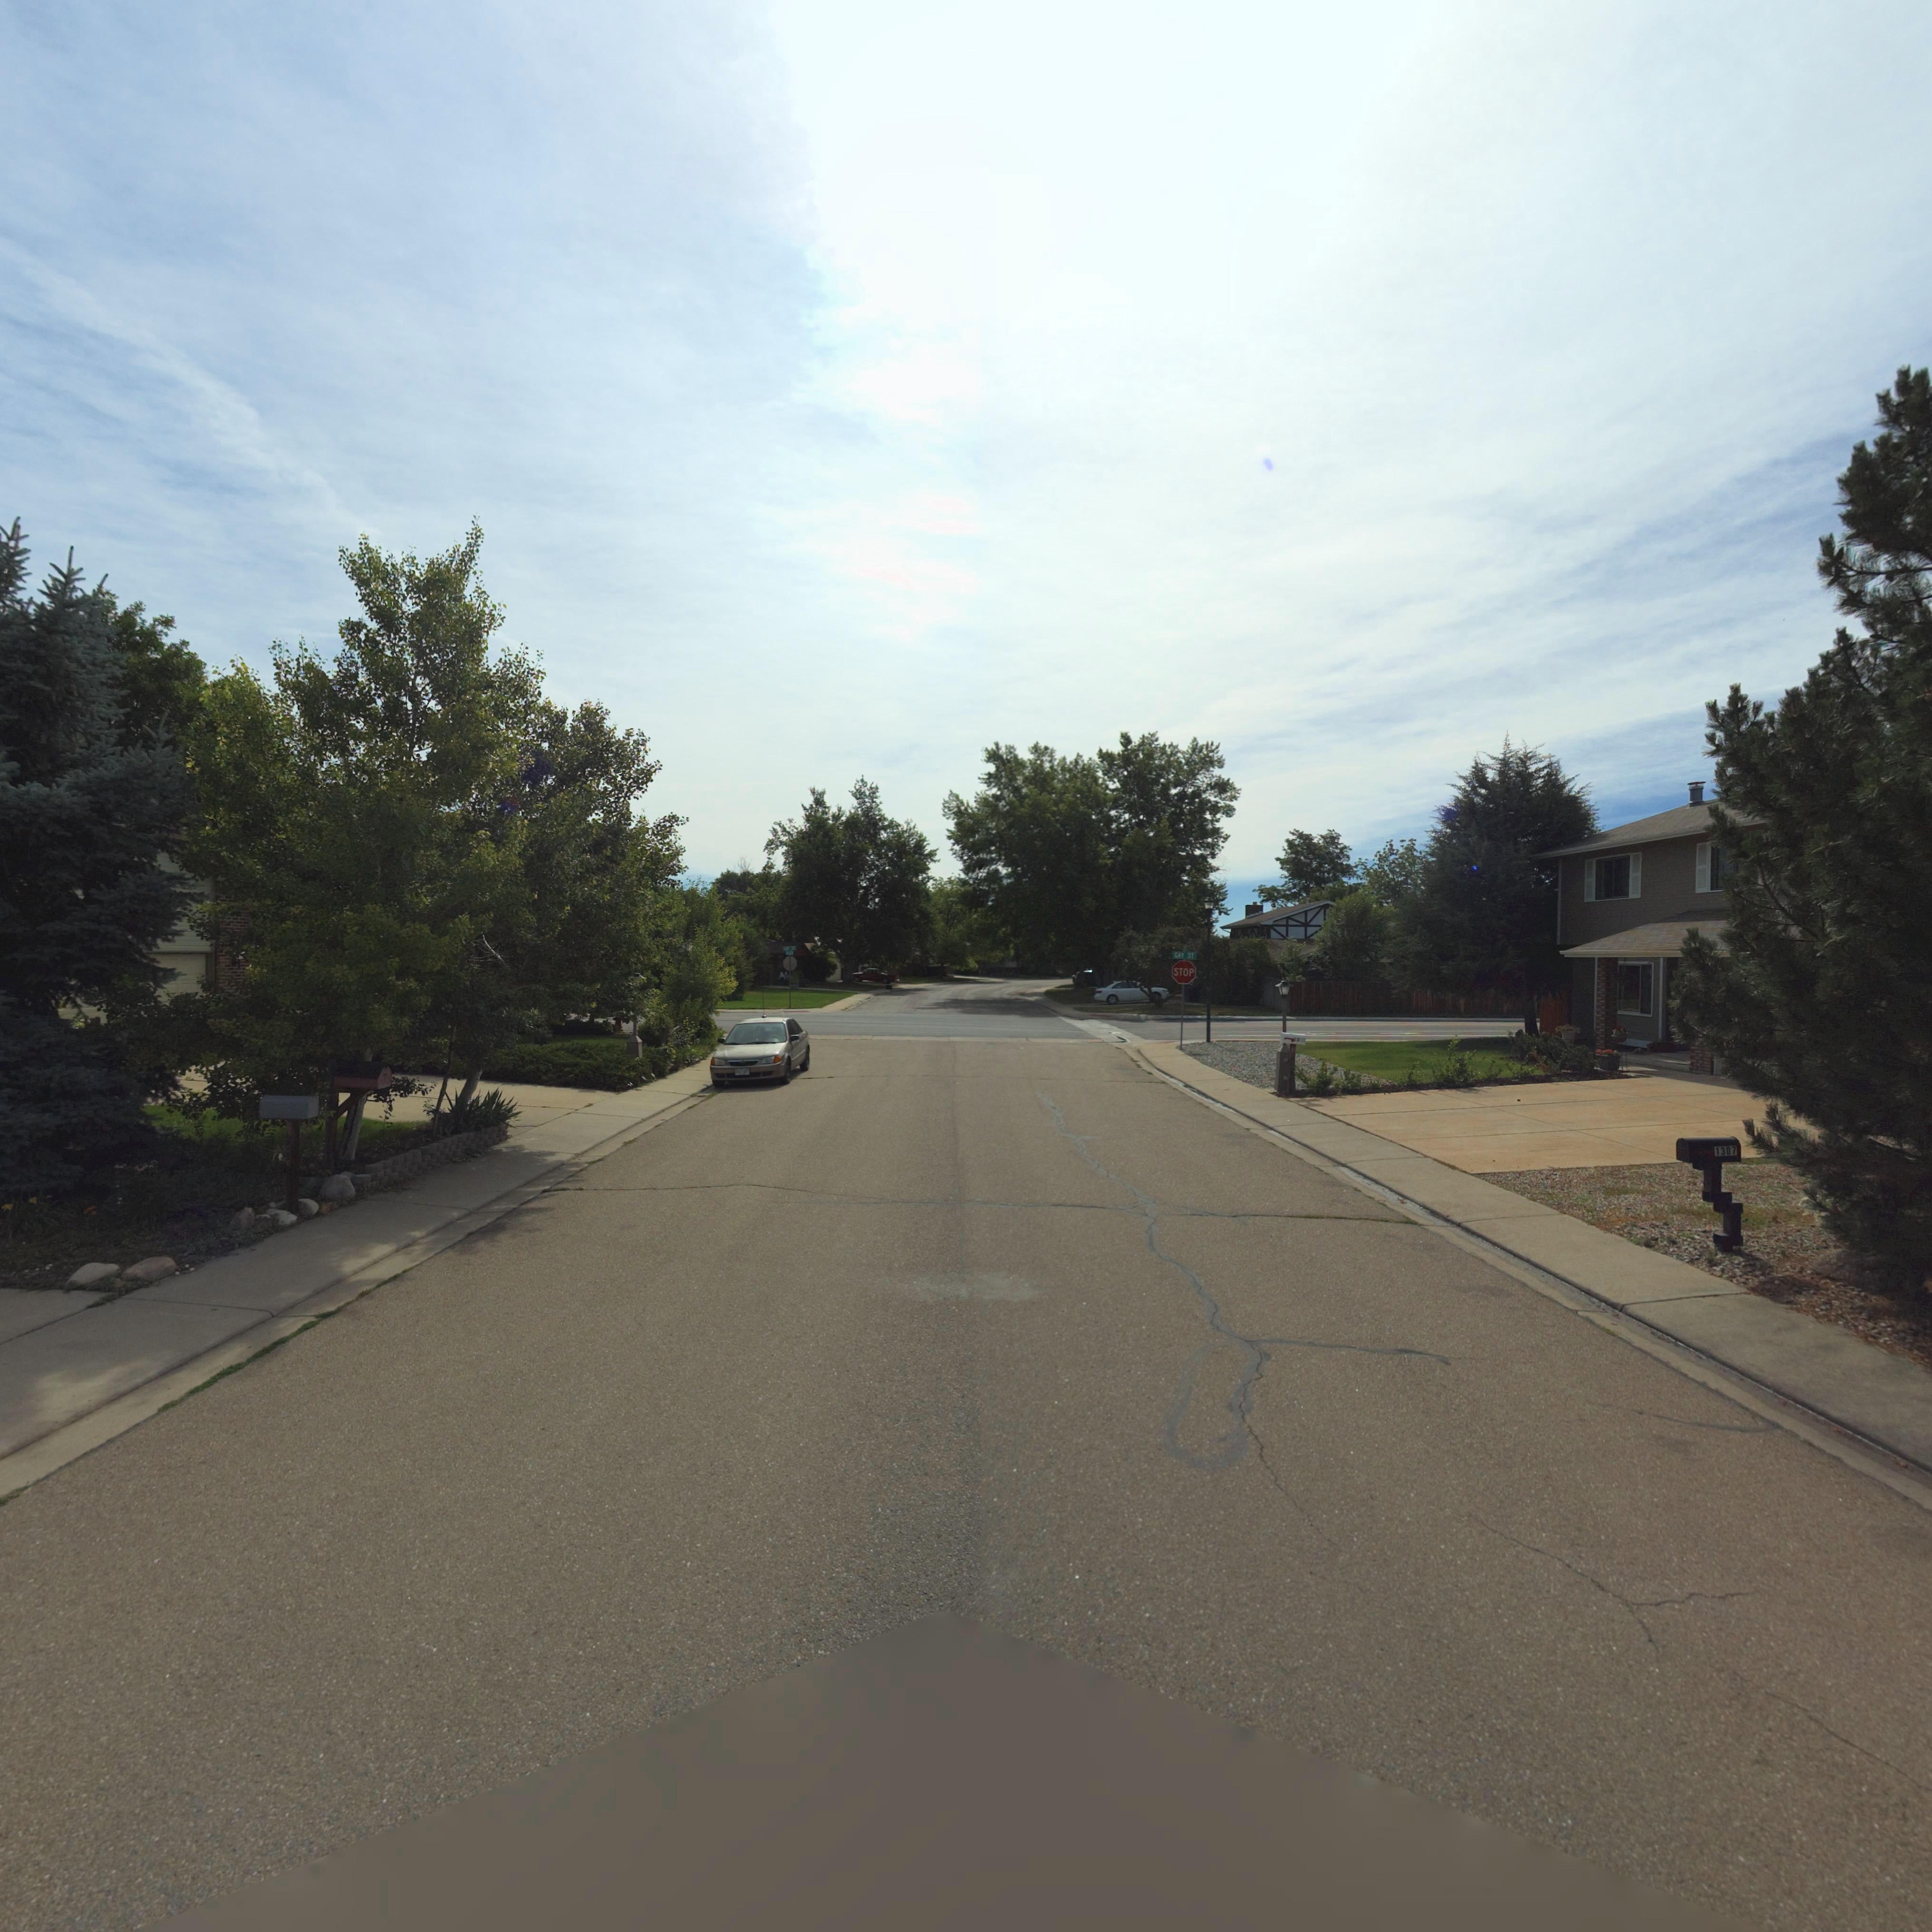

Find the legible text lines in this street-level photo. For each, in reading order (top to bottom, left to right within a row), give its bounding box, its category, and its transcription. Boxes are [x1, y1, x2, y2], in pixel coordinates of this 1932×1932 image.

[783, 946, 795, 950] StreetName: G*Y ST
[1173, 952, 1195, 958] StreetName: GAY ST
[1294, 1037, 1299, 1042] StreetNumber: 1*
[1715, 1146, 1736, 1156] StreetNumber: 1307